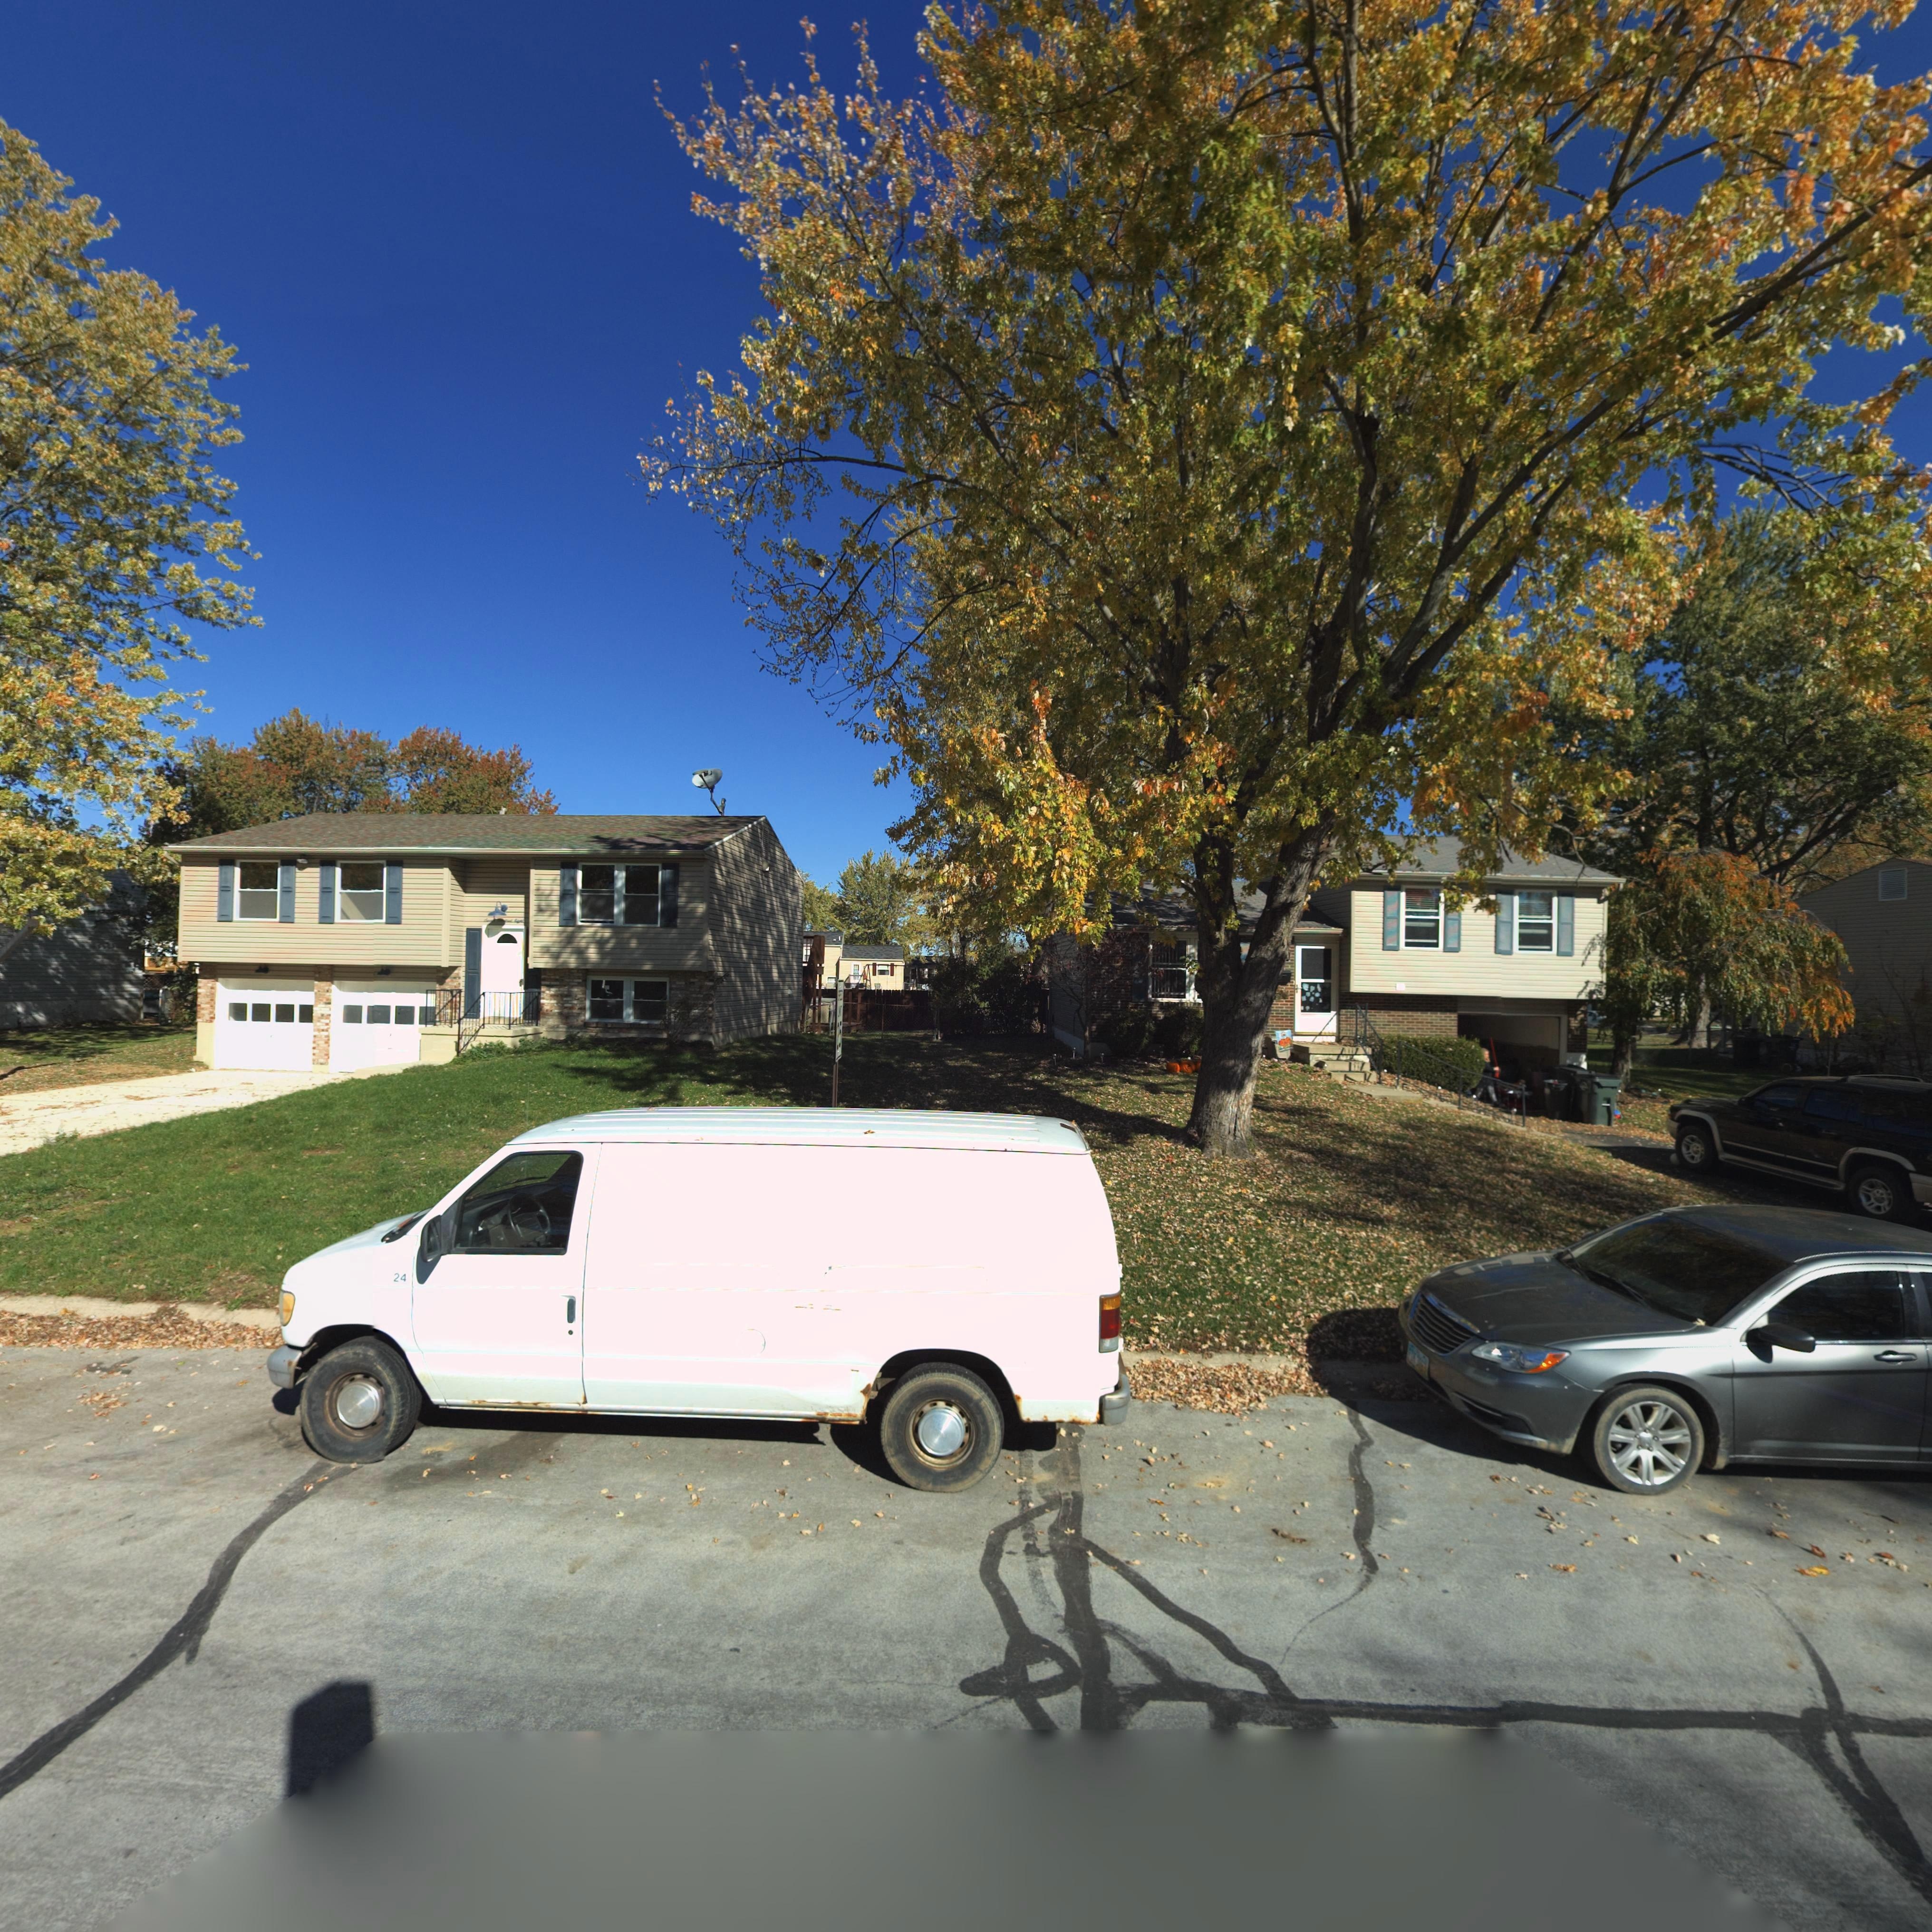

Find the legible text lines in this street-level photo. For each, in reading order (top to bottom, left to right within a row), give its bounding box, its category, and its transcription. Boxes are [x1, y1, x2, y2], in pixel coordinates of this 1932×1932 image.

[483, 917, 488, 922] StreetNumber: S